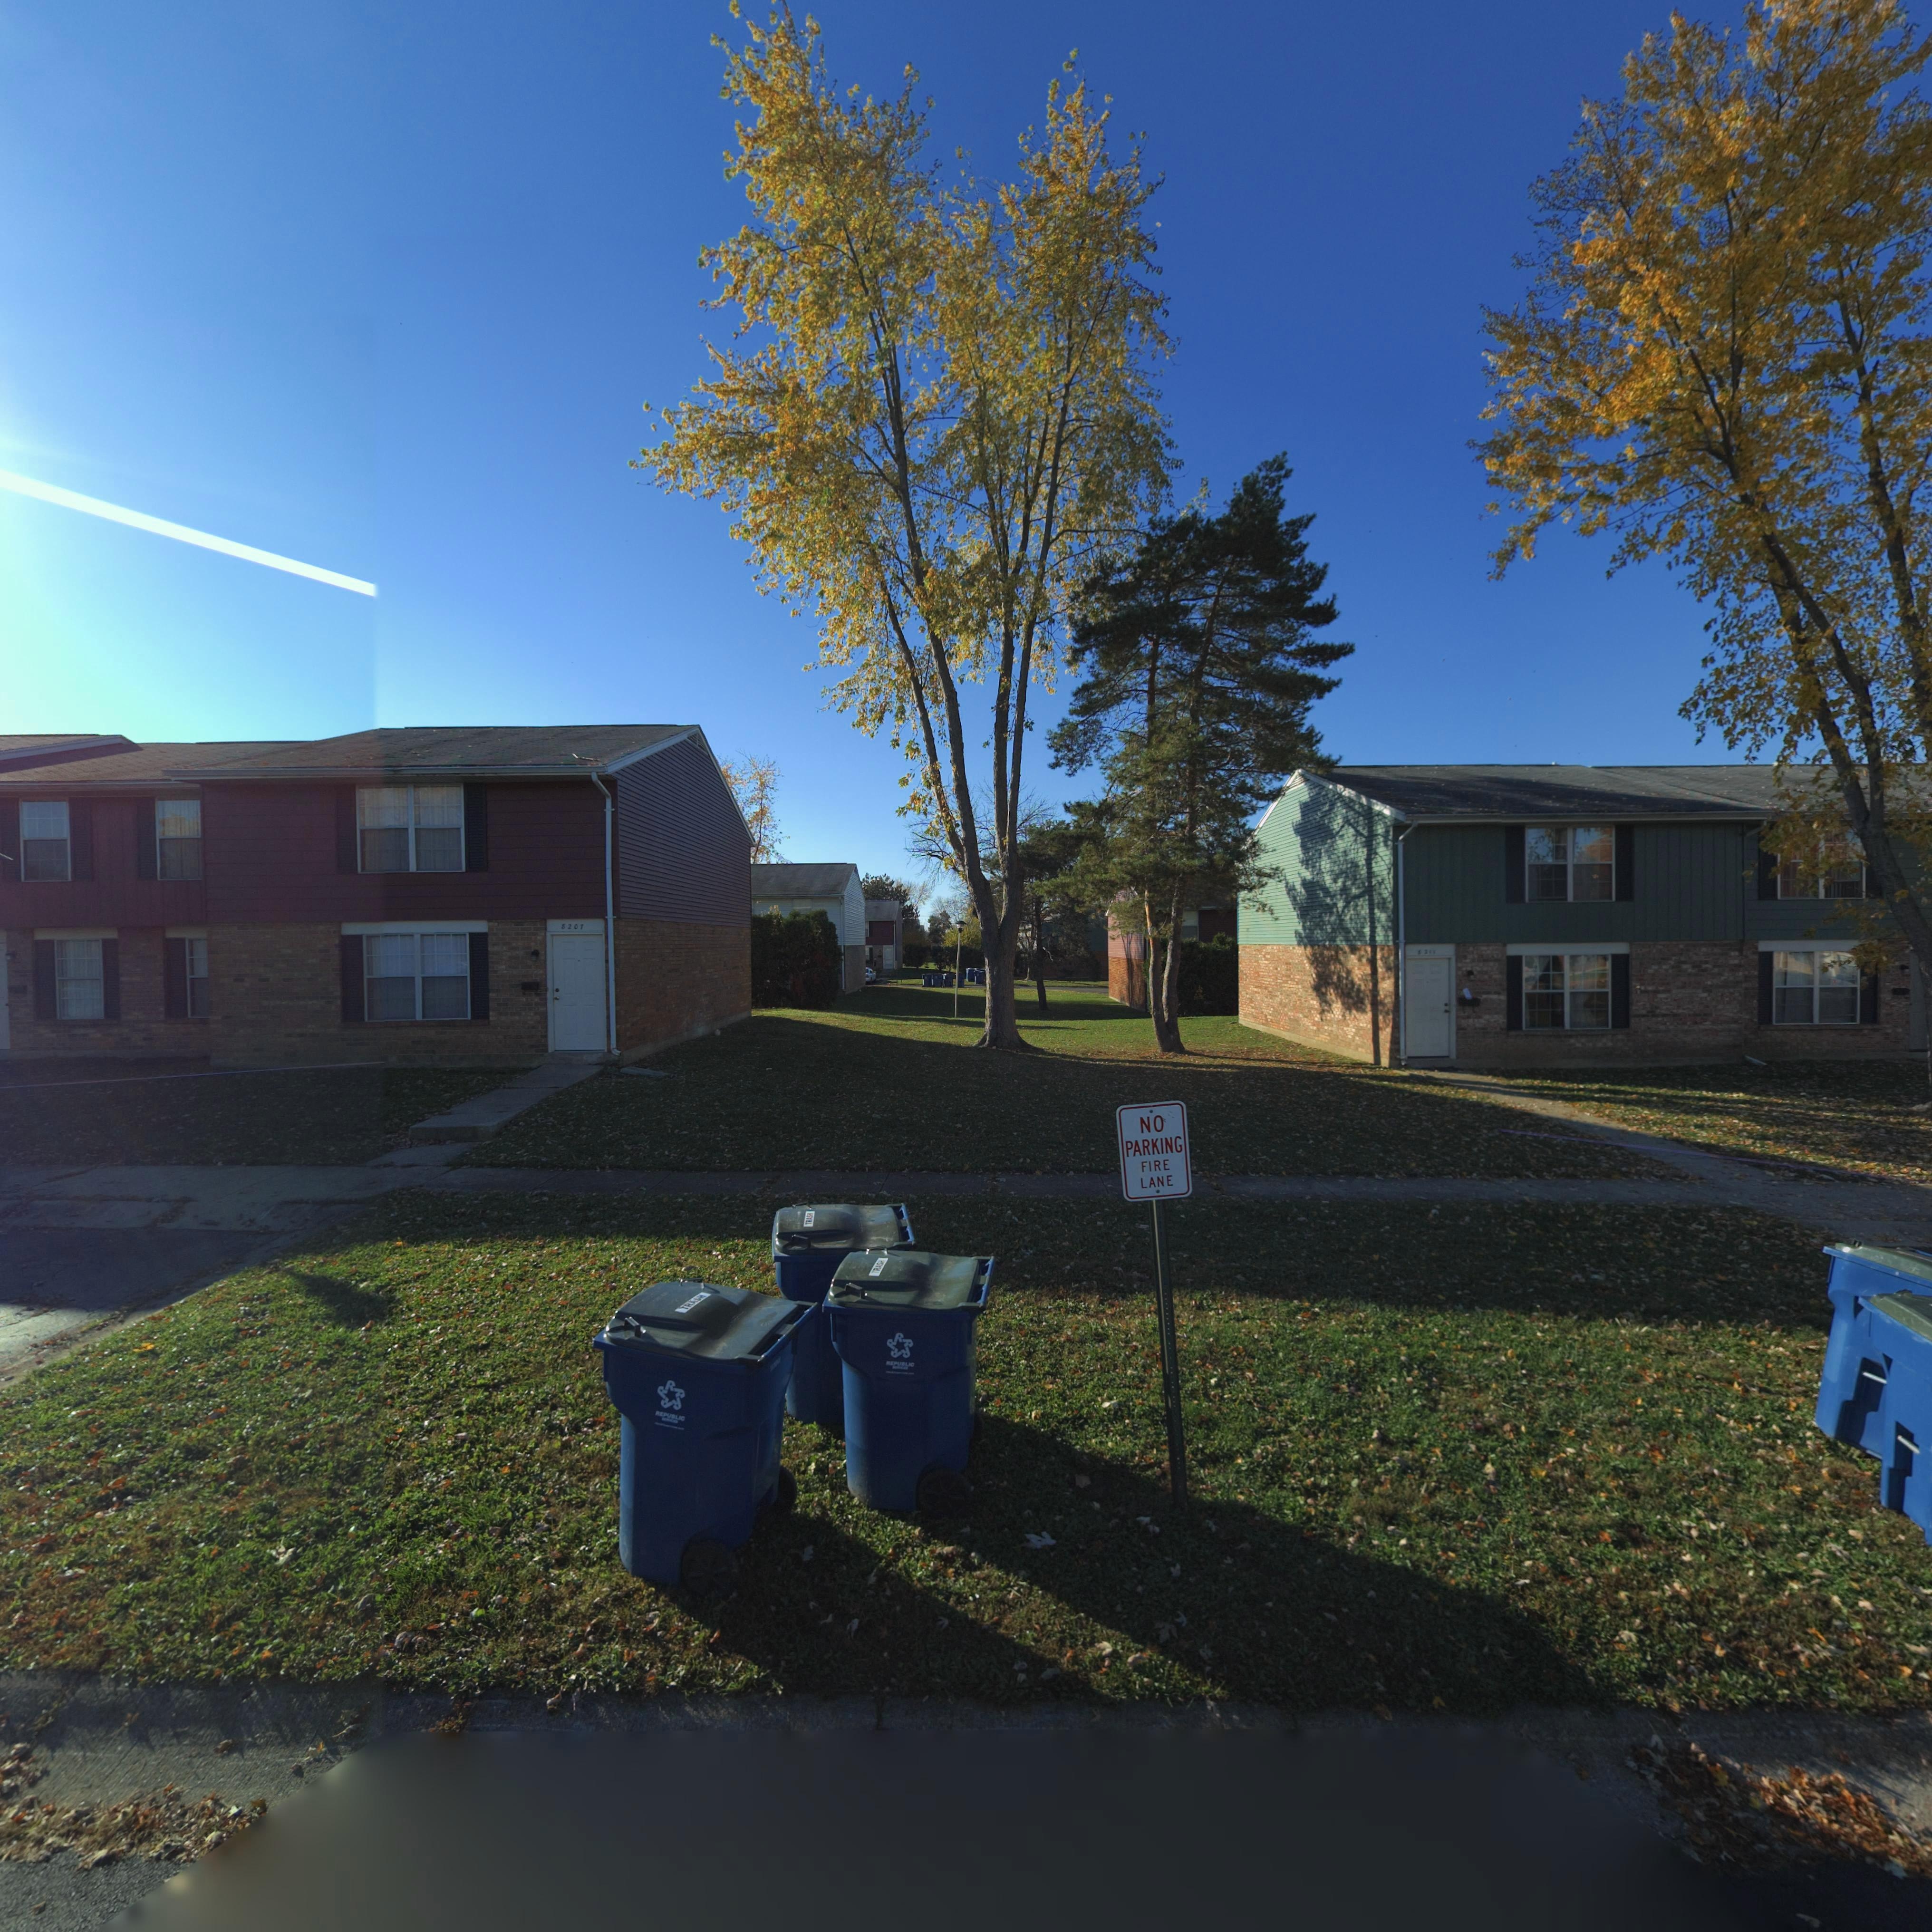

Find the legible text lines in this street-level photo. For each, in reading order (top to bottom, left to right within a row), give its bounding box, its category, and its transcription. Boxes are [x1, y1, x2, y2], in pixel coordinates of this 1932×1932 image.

[560, 923, 584, 930] StreetNumber: 8207
[1417, 948, 1436, 955] StreetNumber: 8211